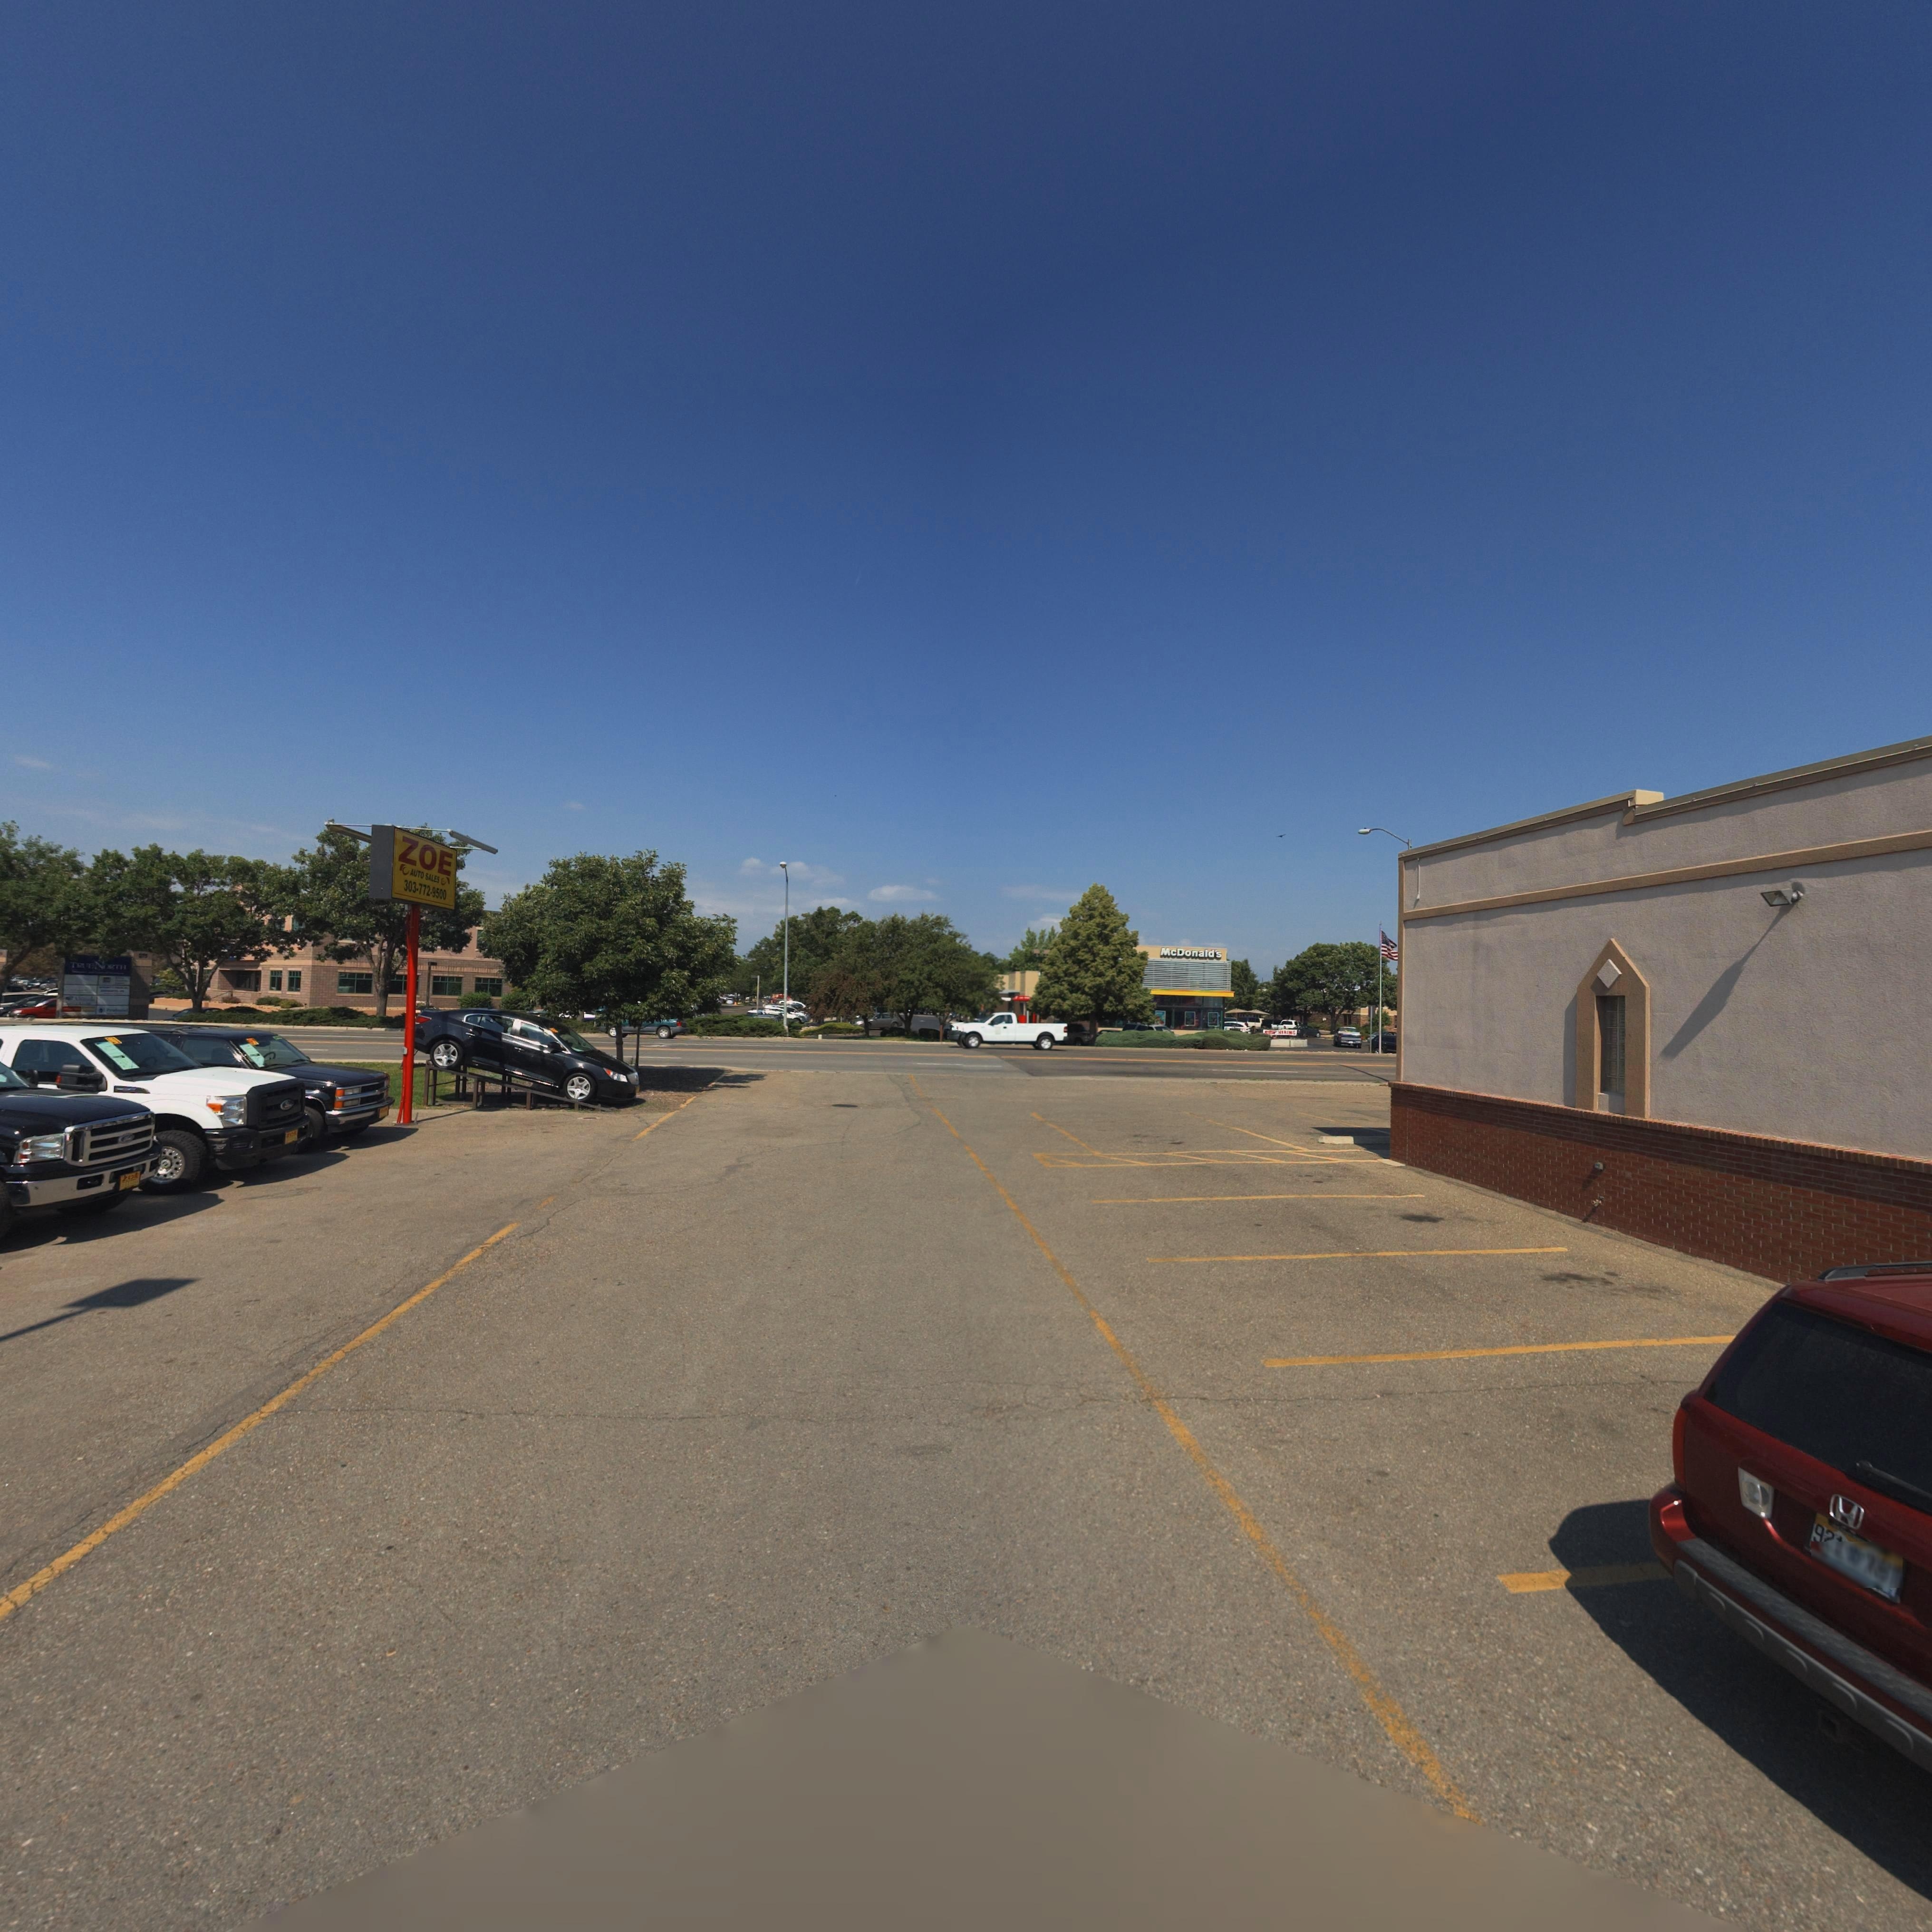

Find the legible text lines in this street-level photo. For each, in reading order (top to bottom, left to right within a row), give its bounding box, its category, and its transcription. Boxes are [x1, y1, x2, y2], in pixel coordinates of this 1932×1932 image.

[396, 834, 454, 877] BusinessName: ZOE
[409, 868, 441, 883] BusinessName: AUTO SALES
[1160, 947, 1222, 958] BusinessName: McDonald's